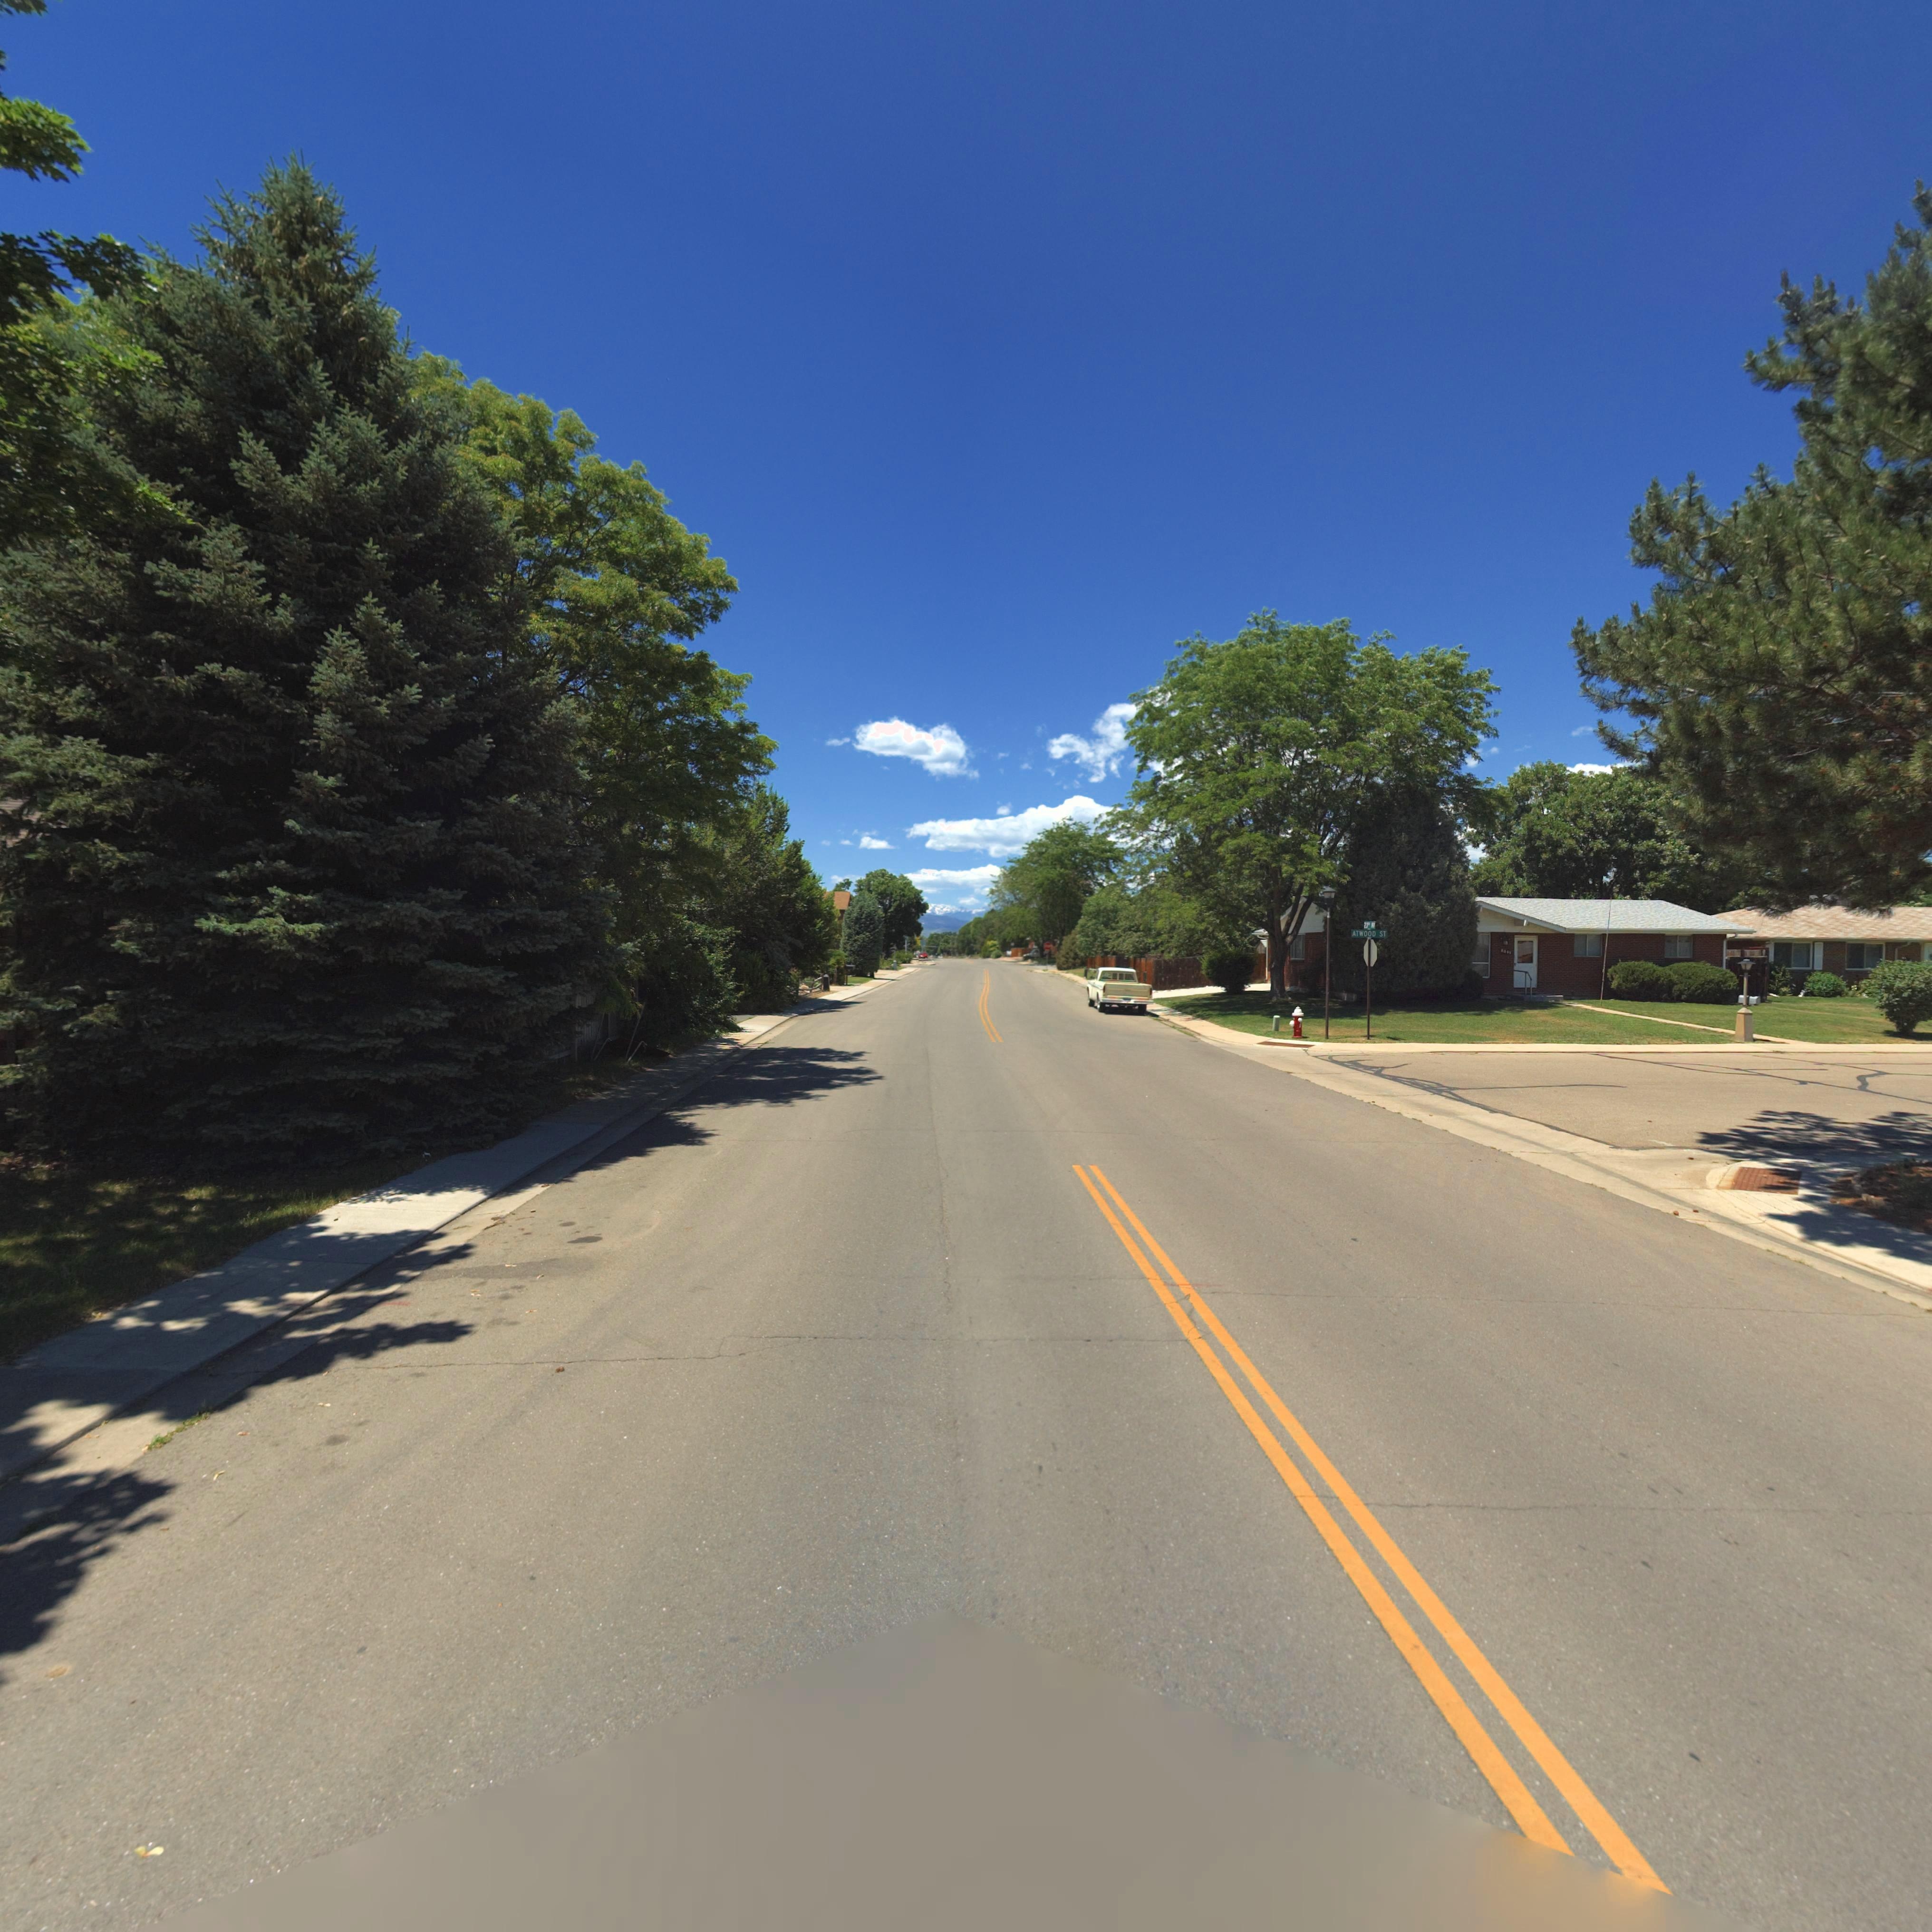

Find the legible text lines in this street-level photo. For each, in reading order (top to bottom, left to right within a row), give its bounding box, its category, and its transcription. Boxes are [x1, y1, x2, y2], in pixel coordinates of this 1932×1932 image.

[1363, 921, 1375, 928] StreetName: 23RD RD
[1352, 929, 1386, 937] StreetName: ATWOOD ST
[1500, 948, 1511, 955] StreetNumber: *3**